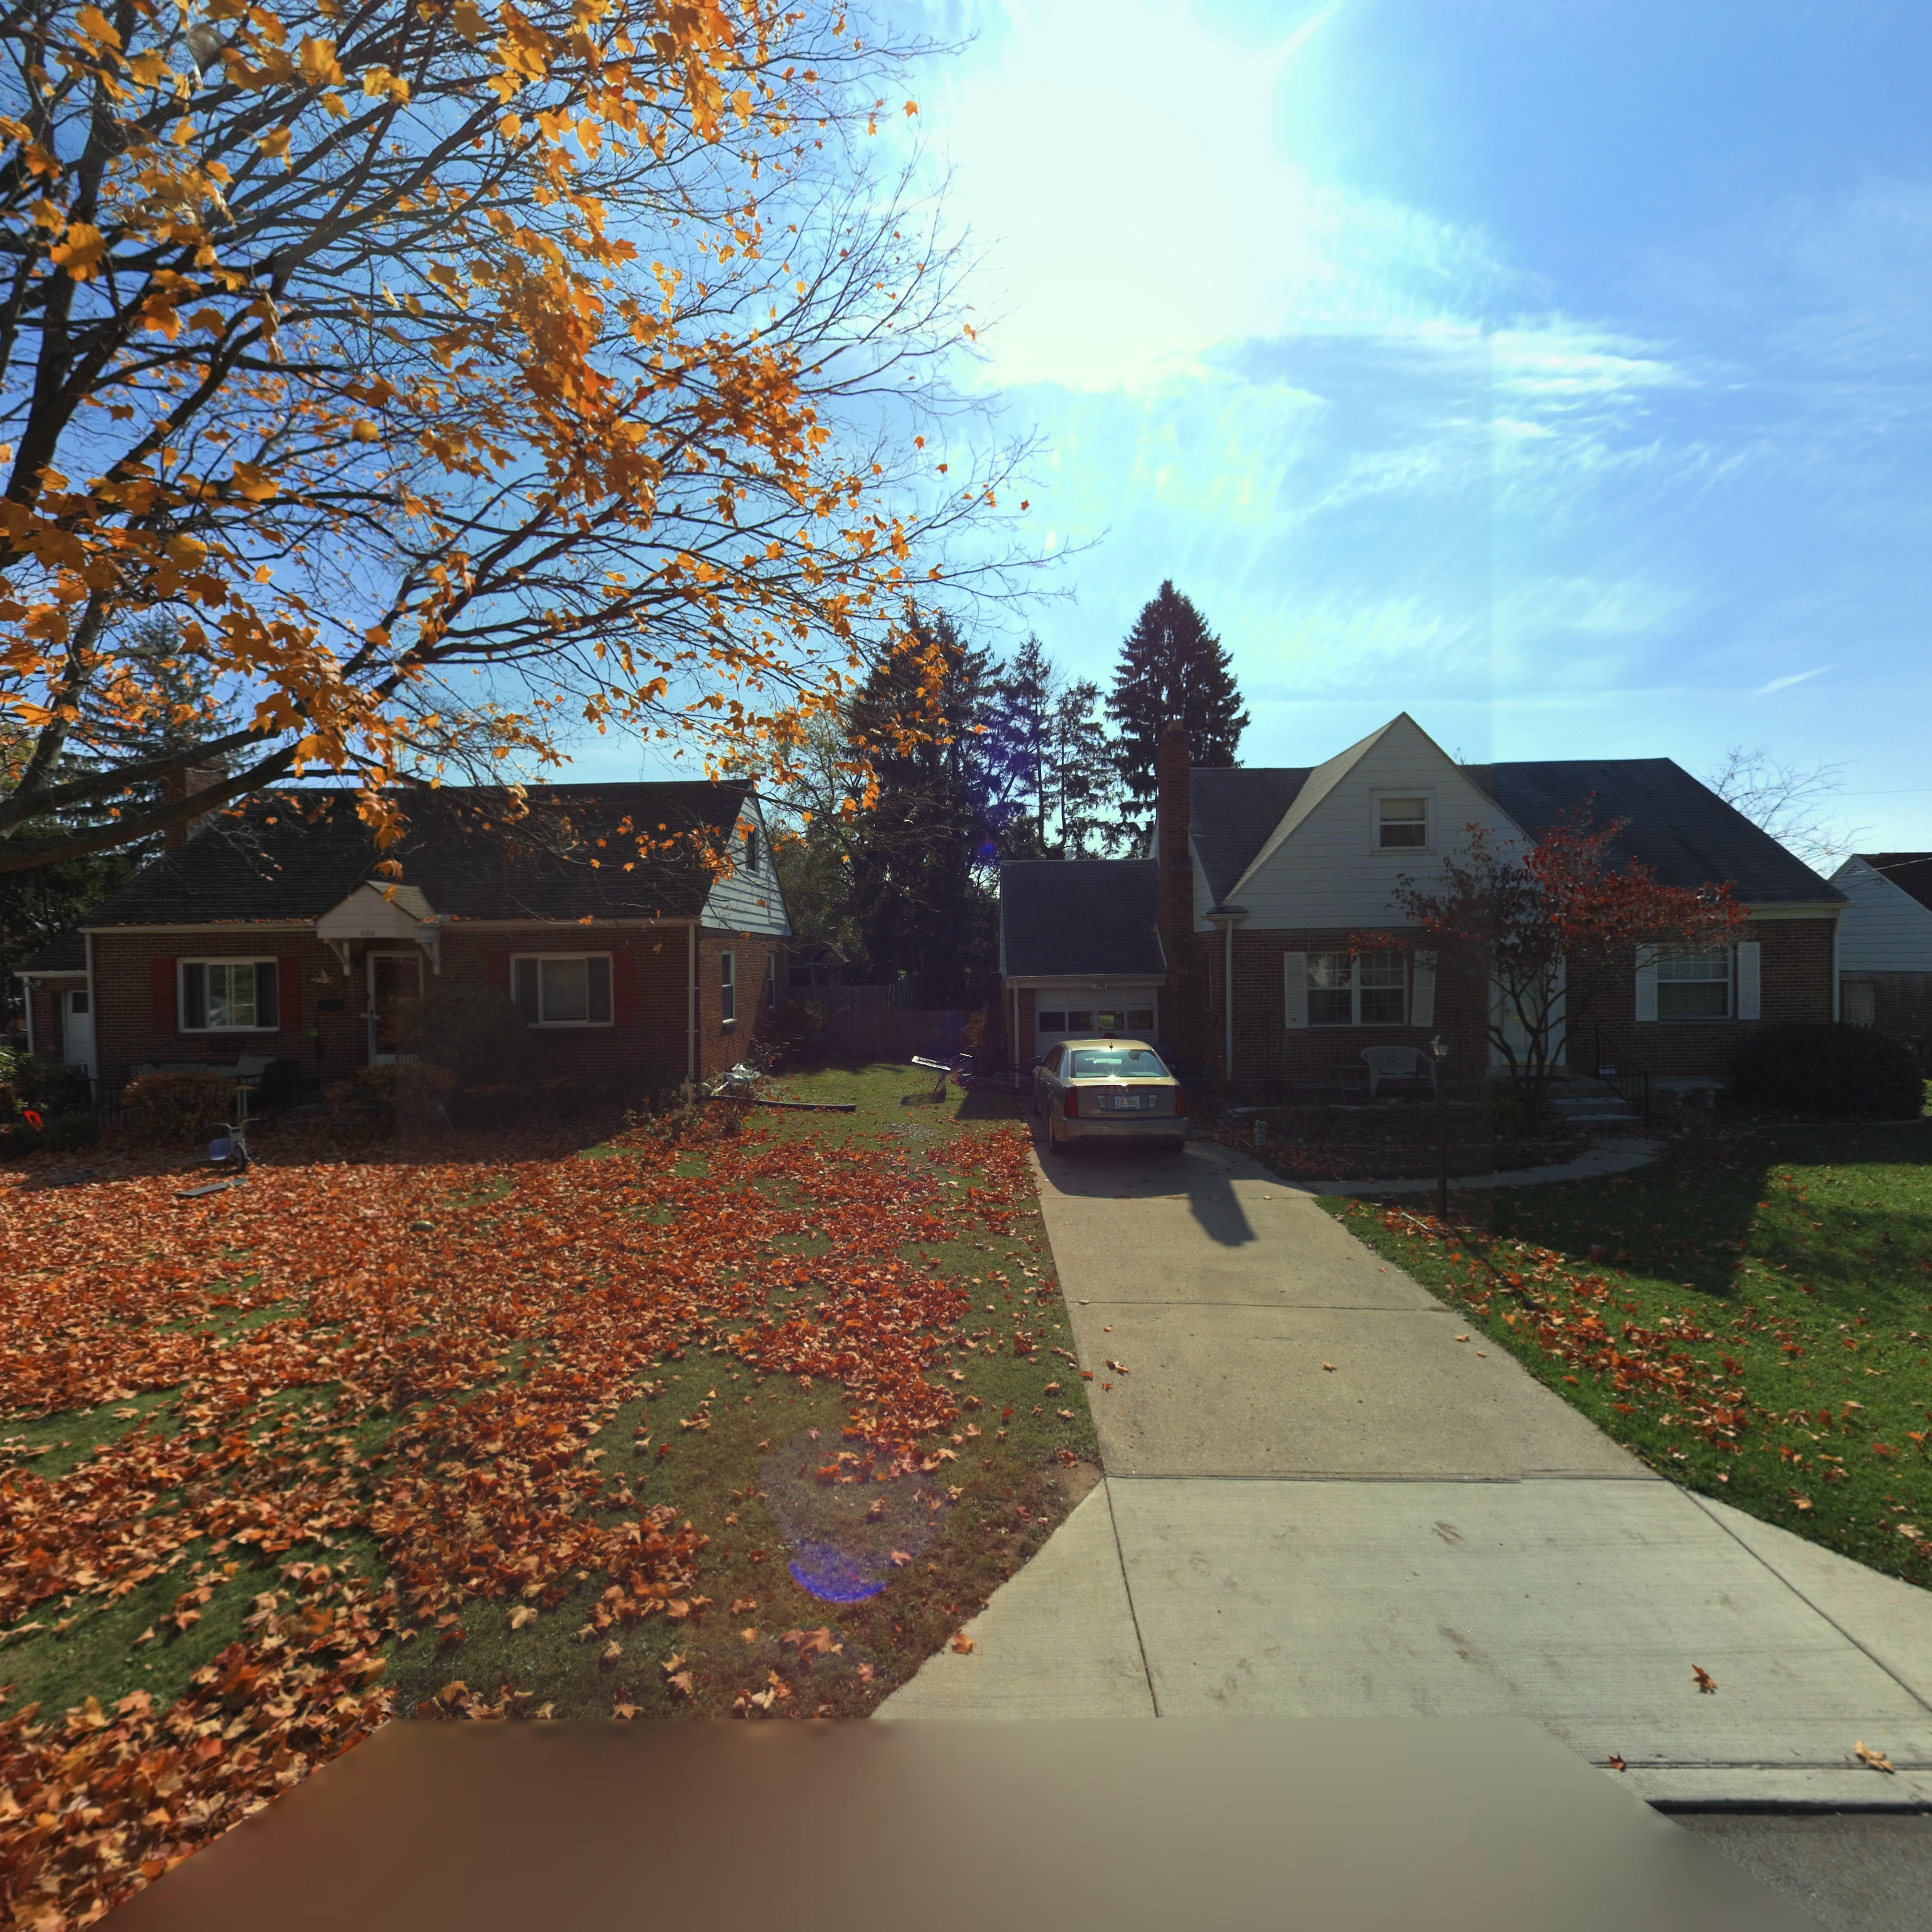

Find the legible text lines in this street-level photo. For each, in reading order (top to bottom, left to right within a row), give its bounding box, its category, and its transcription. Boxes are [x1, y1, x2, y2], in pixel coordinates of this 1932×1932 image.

[360, 929, 375, 936] StreetNumber: 600
[1117, 1099, 1137, 1105] None: FZL*9846